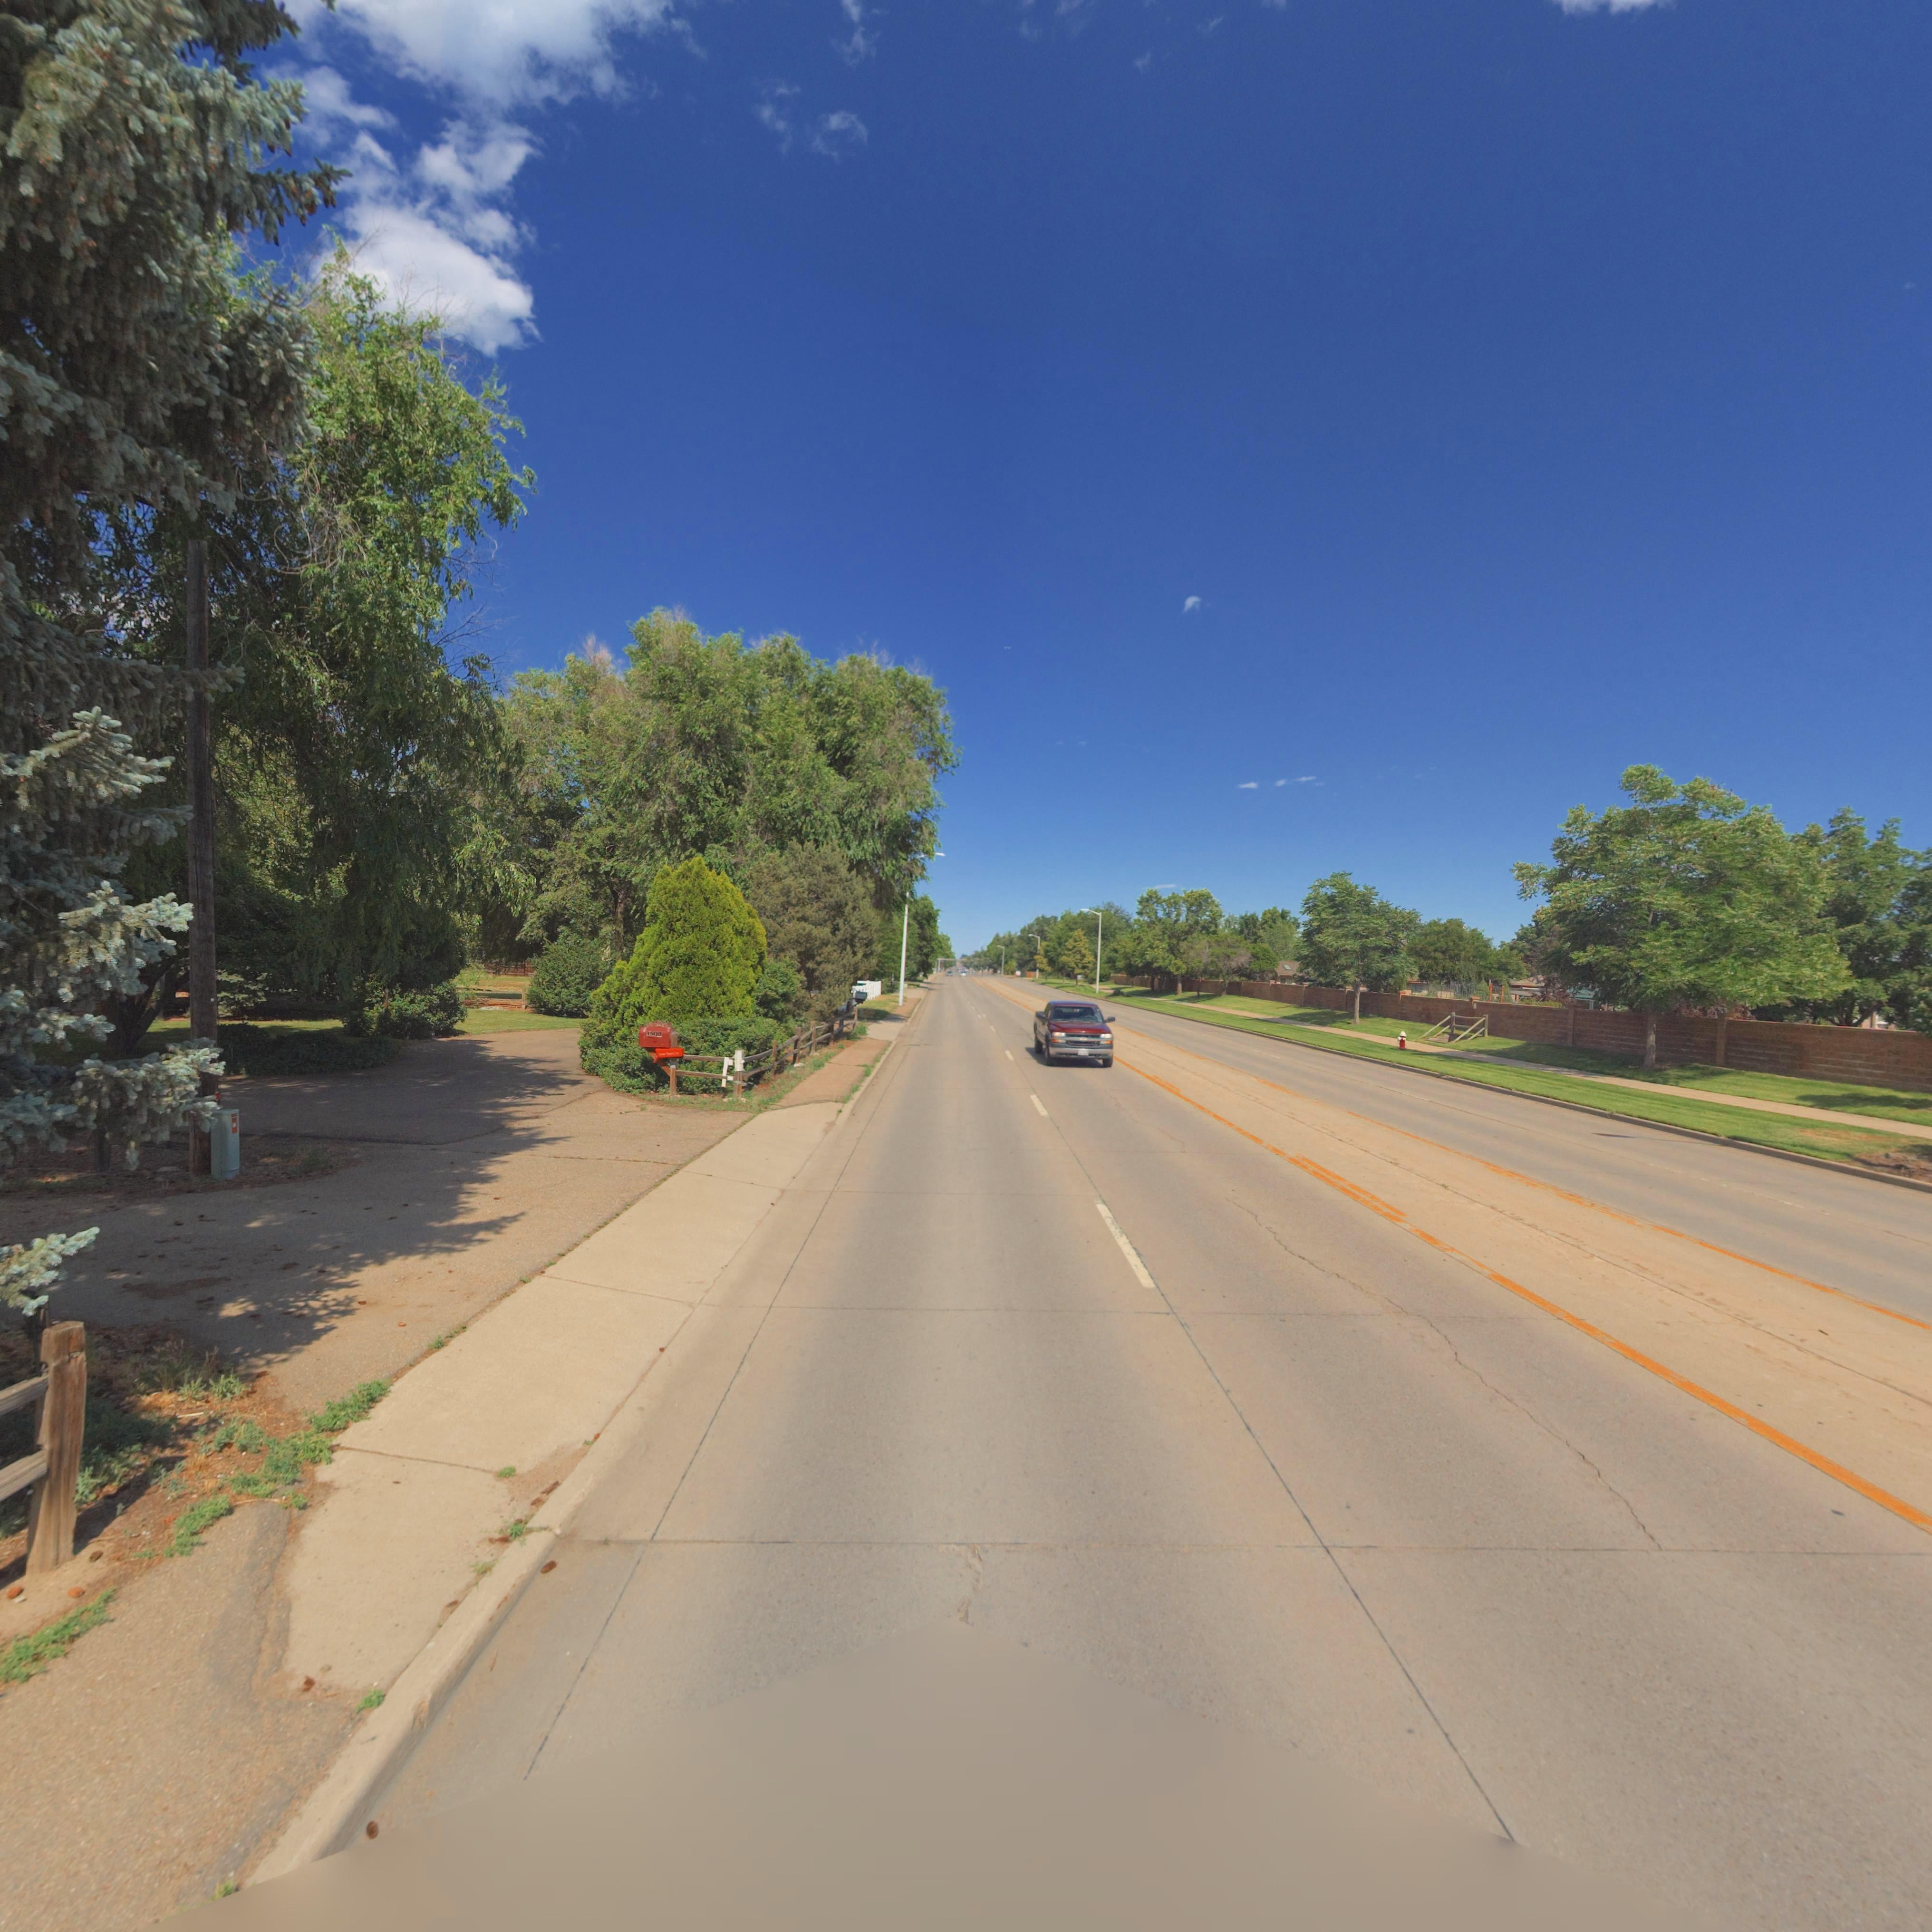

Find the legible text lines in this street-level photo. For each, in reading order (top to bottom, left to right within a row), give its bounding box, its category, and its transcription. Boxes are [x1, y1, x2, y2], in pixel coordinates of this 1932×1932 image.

[647, 1031, 661, 1036] StreetNumber: 1508